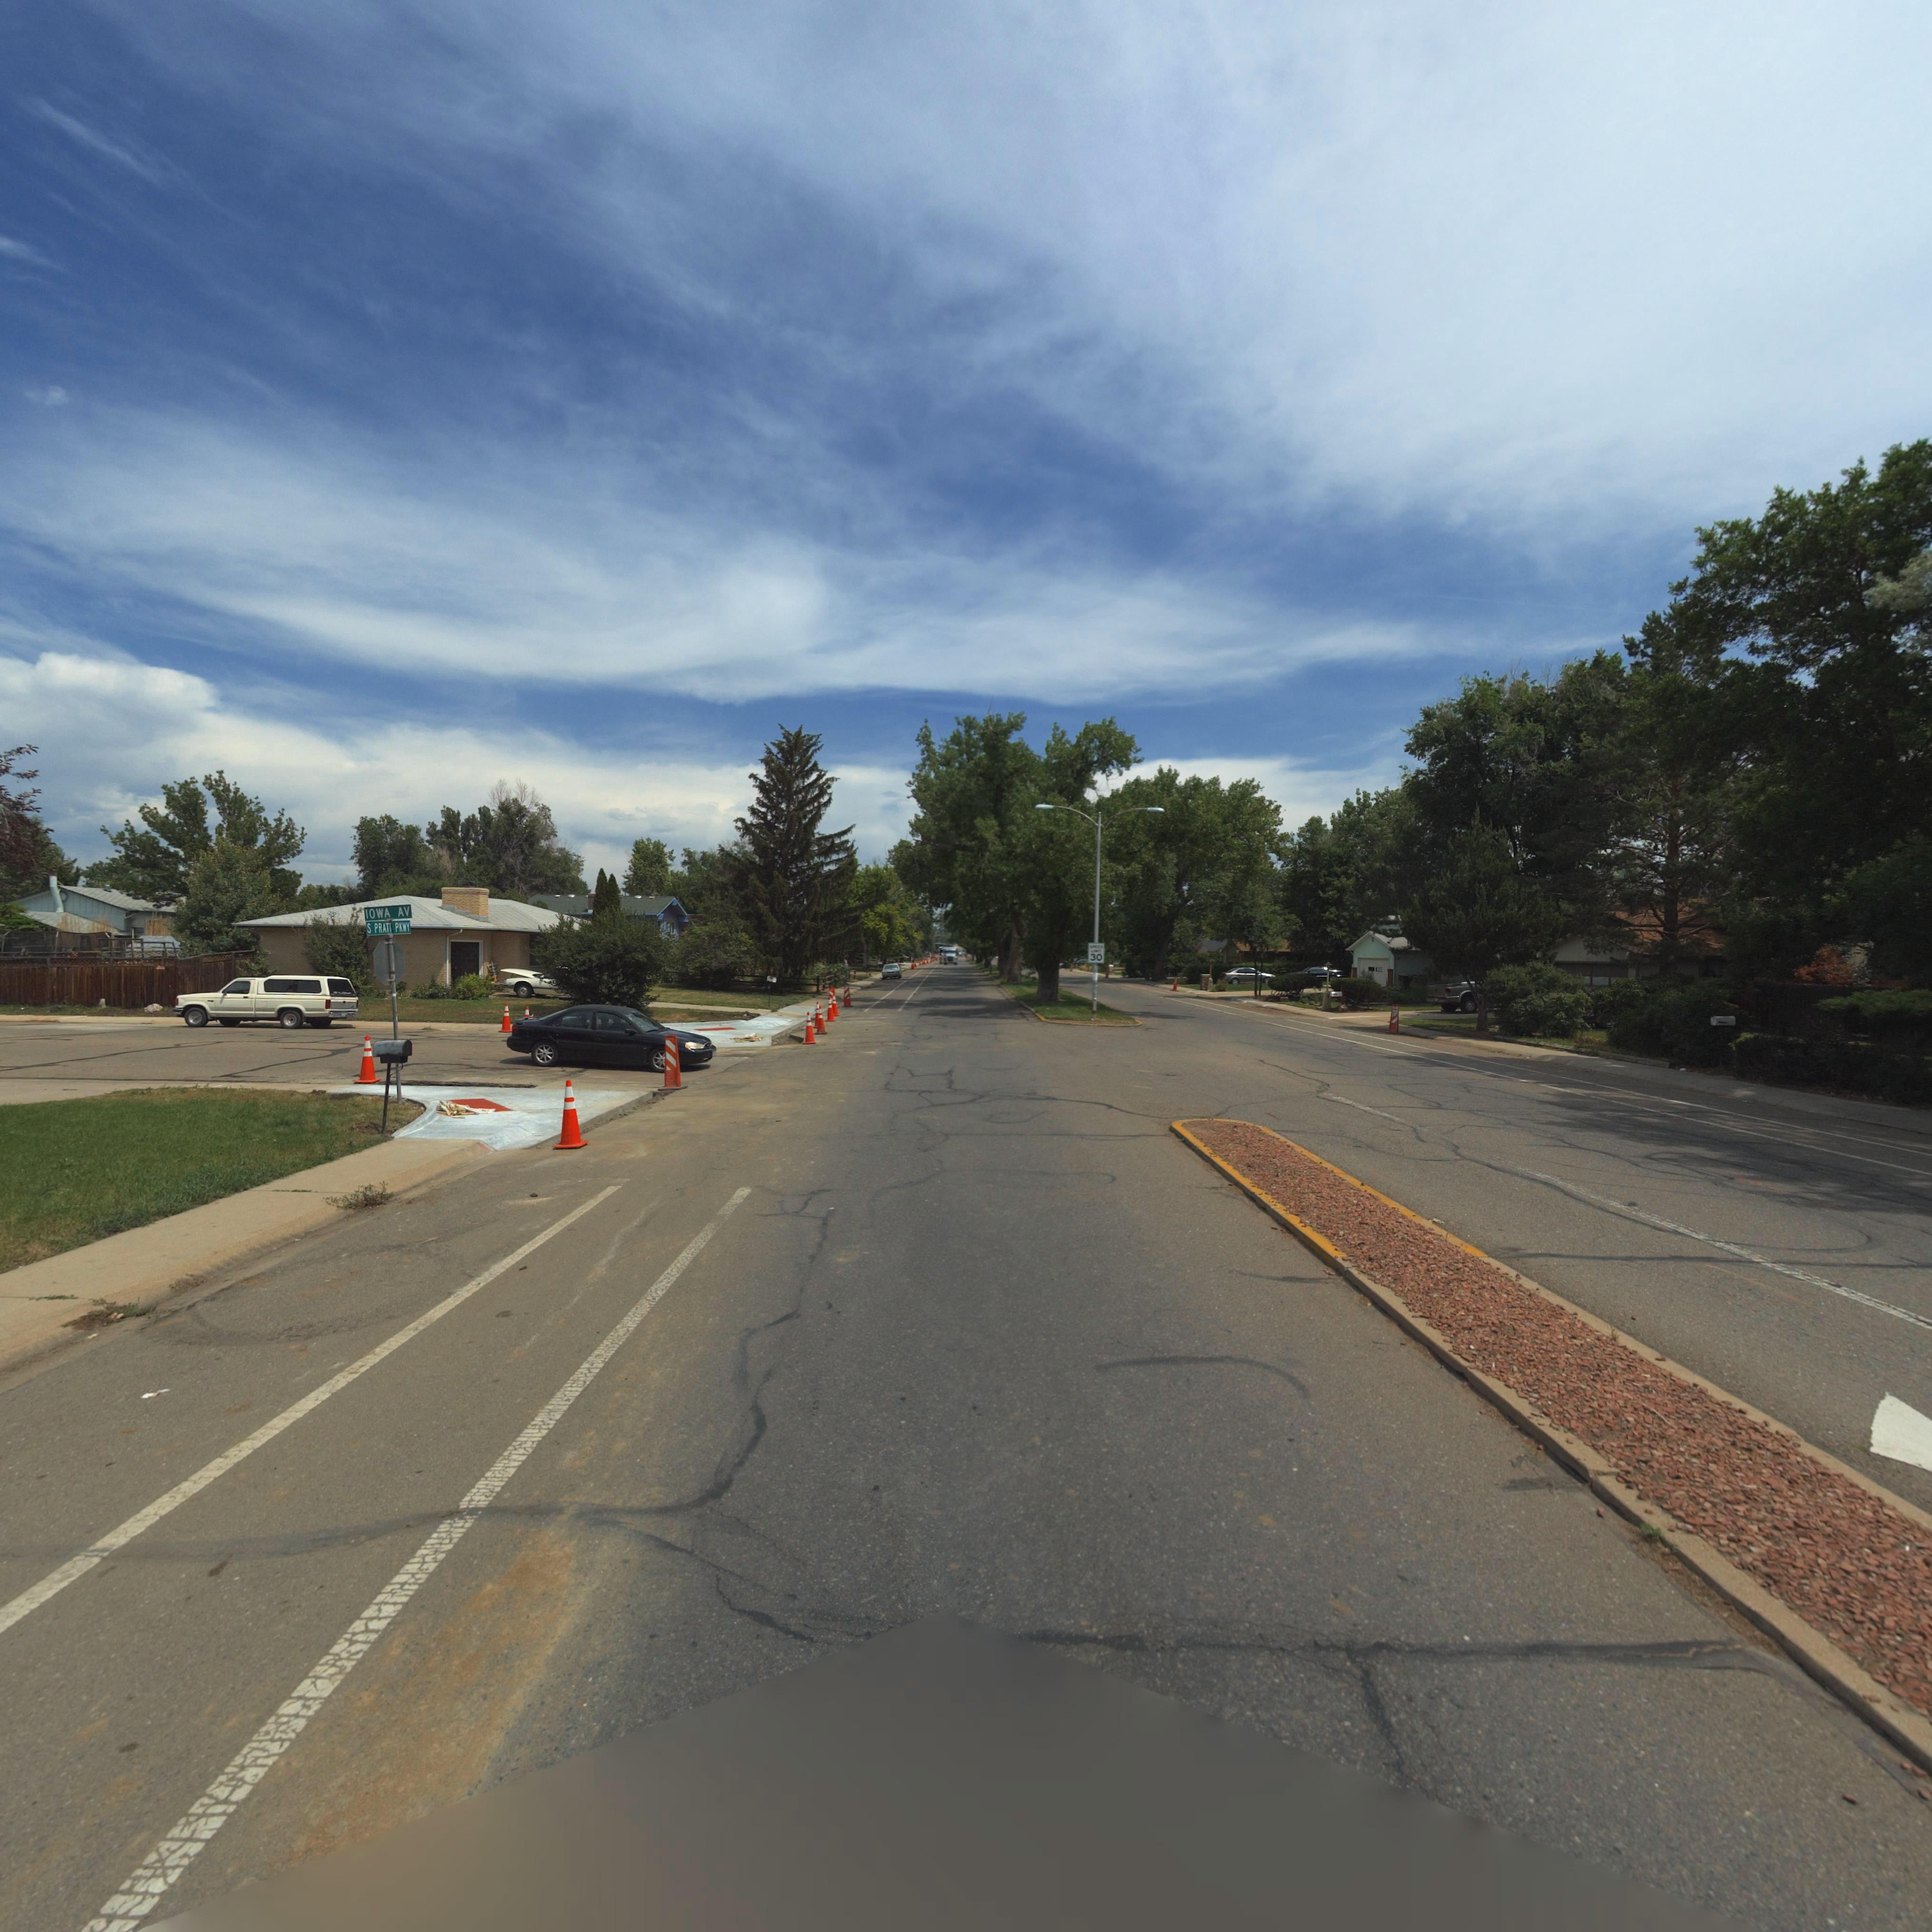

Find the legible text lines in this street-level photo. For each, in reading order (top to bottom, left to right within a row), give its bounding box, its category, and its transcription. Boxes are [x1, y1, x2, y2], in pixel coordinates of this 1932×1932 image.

[366, 906, 409, 919] StreetName: IOWA AV
[367, 922, 409, 933] StreetName: S PRATT PKWY